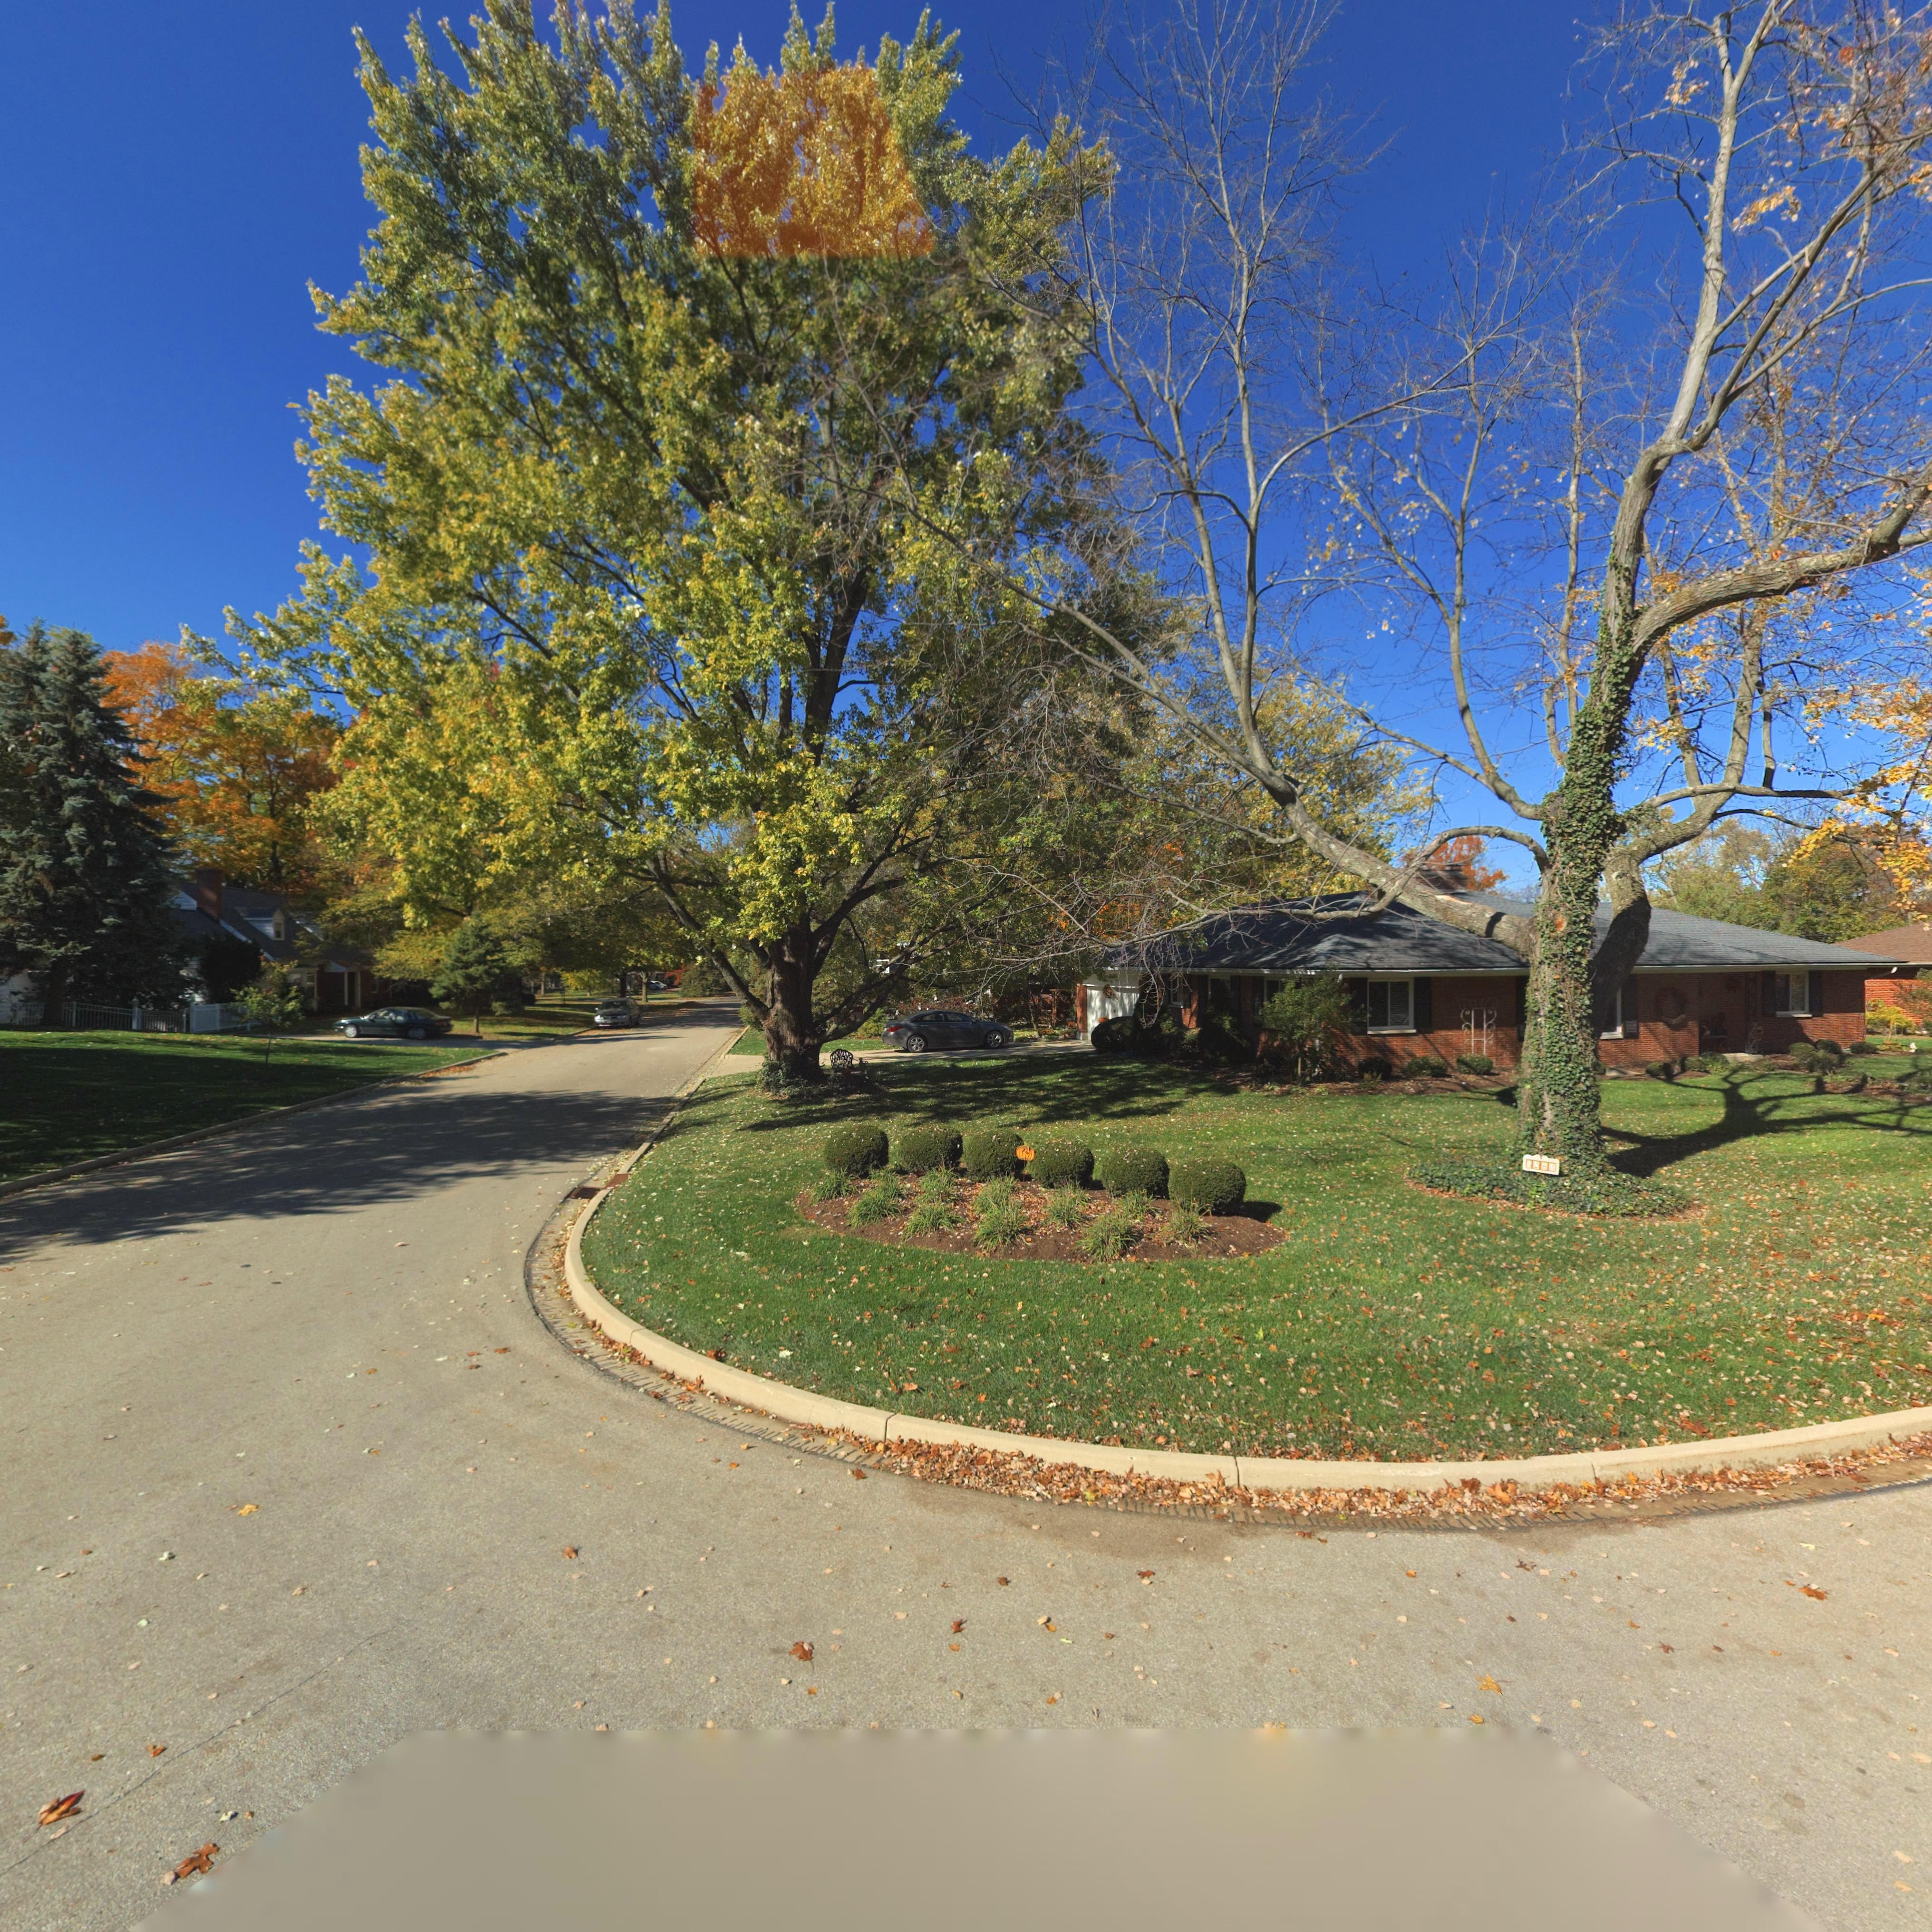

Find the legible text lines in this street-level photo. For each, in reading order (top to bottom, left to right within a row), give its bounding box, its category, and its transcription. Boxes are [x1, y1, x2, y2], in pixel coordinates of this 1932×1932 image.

[1526, 1159, 1556, 1172] StreetNumber: **87